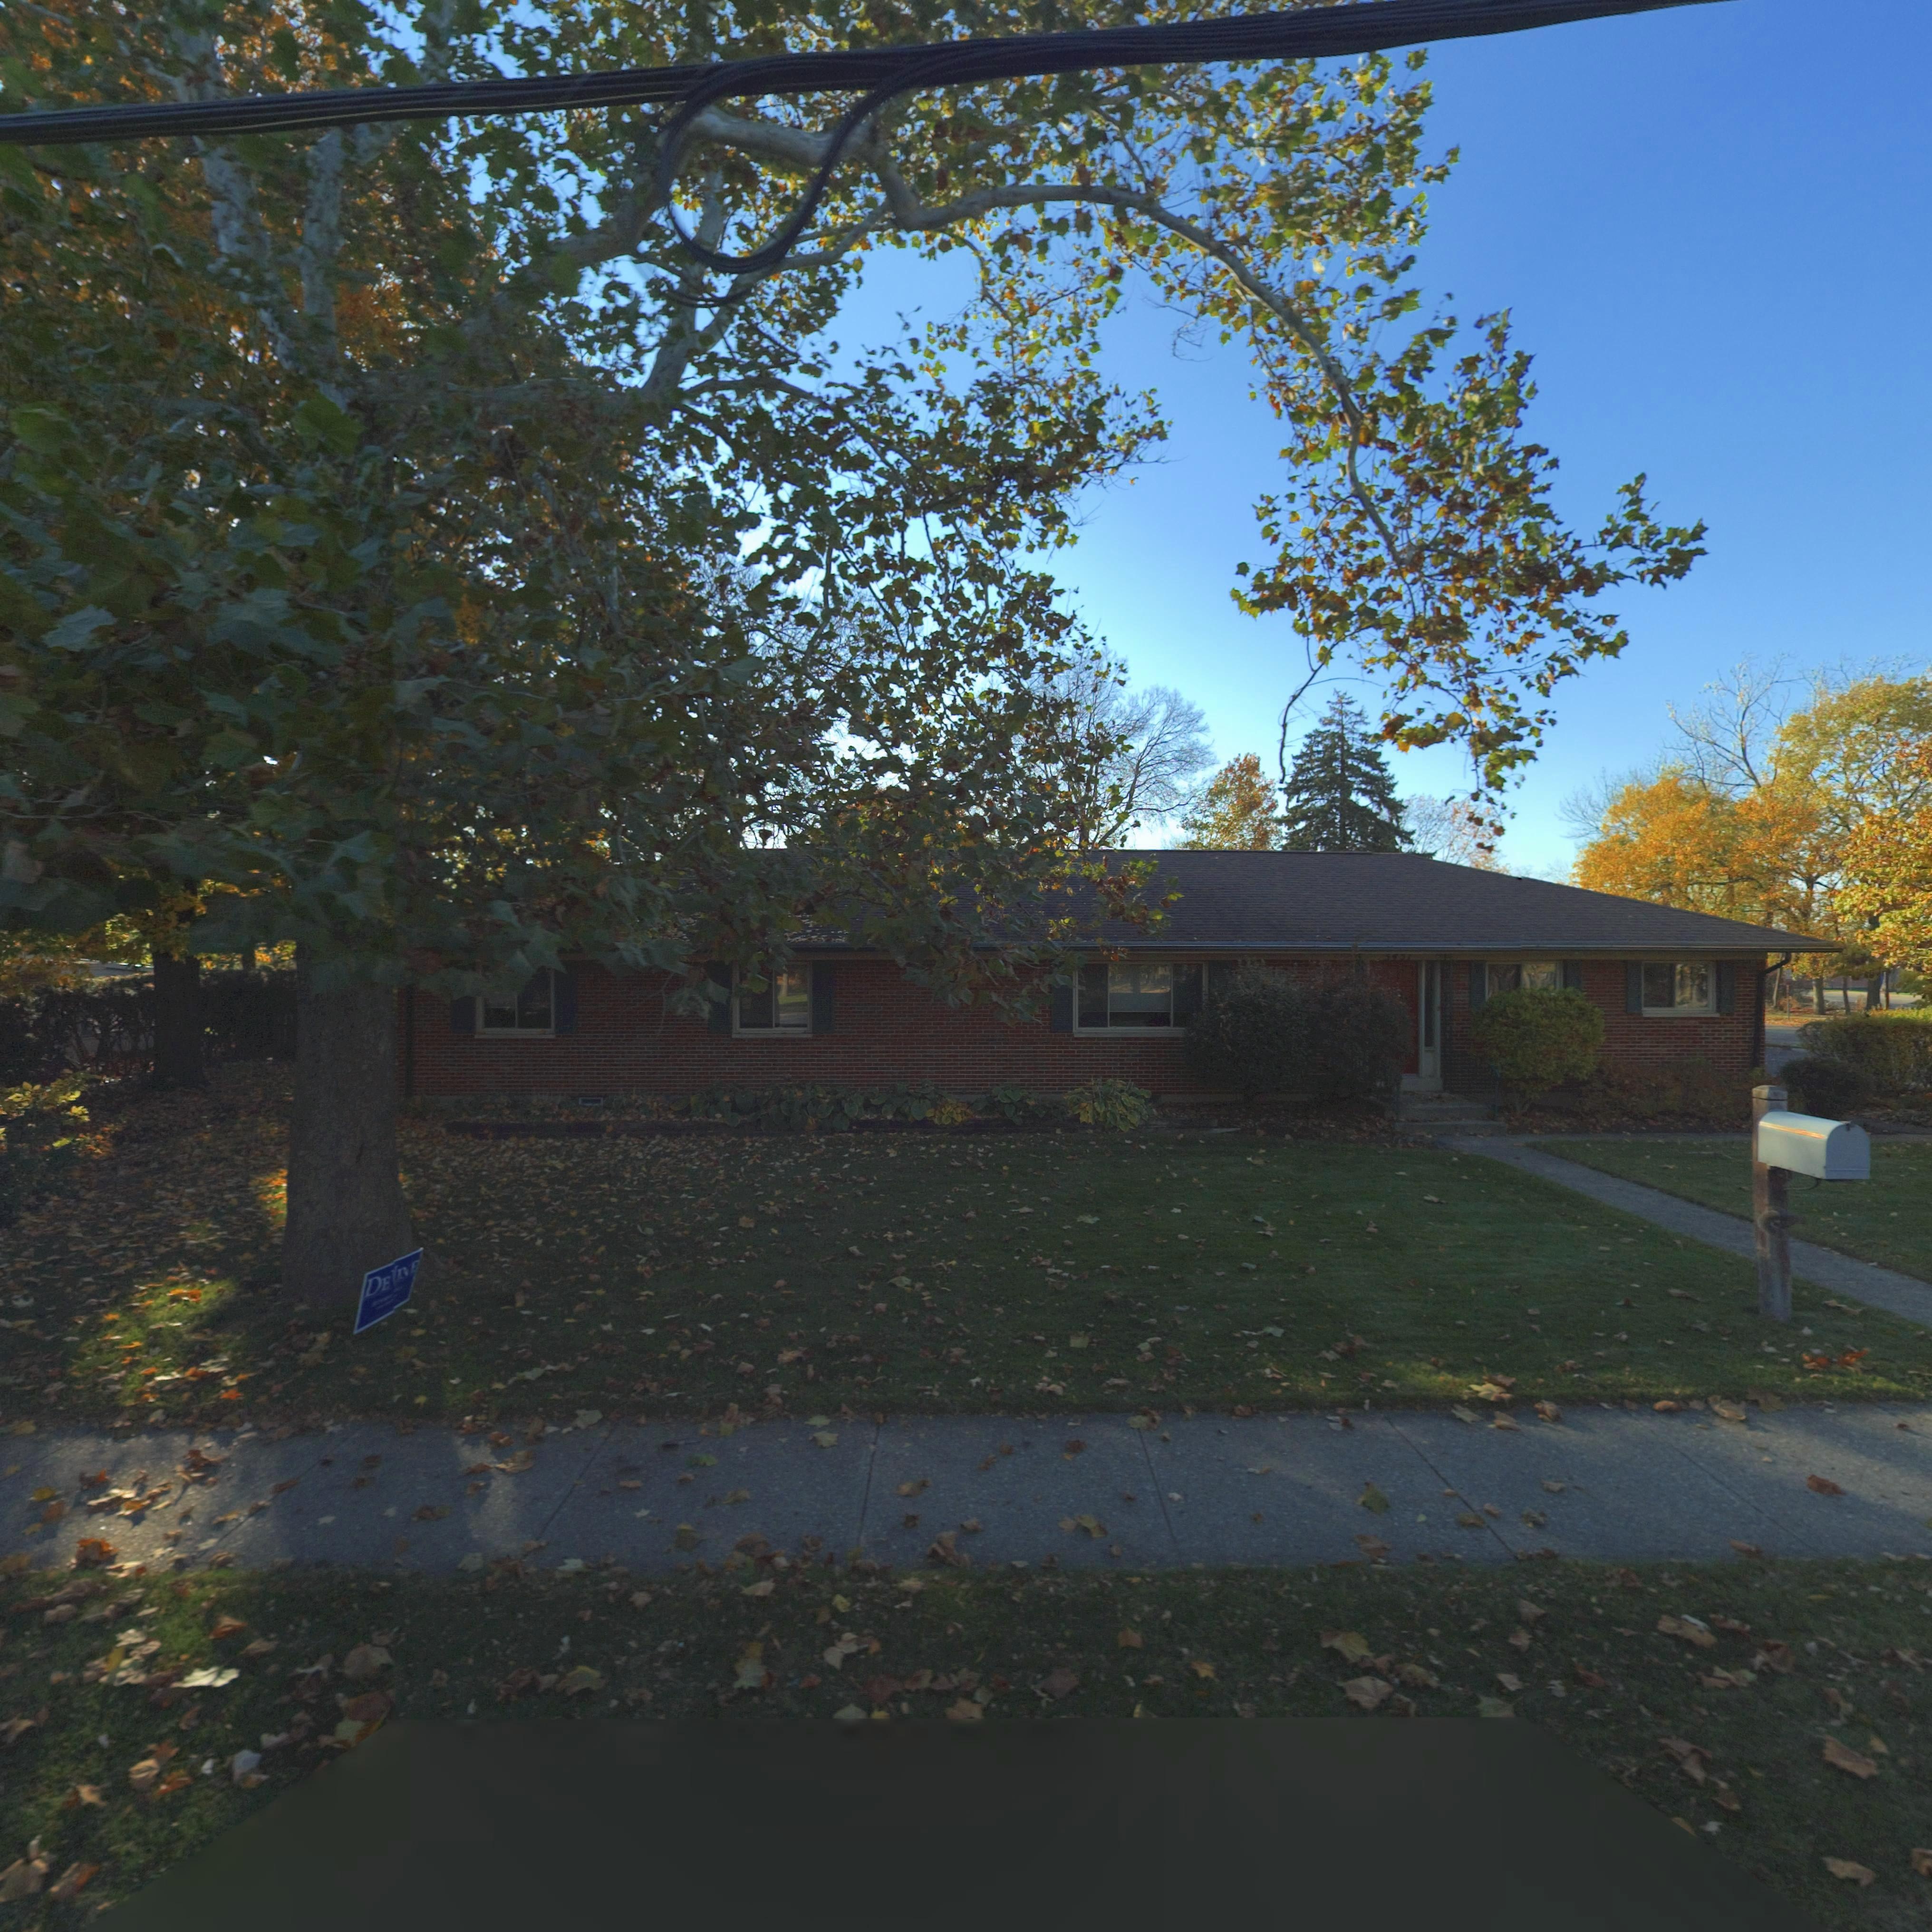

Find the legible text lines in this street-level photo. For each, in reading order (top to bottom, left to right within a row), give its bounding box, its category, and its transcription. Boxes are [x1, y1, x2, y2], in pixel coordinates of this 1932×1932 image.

[1385, 953, 1411, 960] StreetNumber: 3451